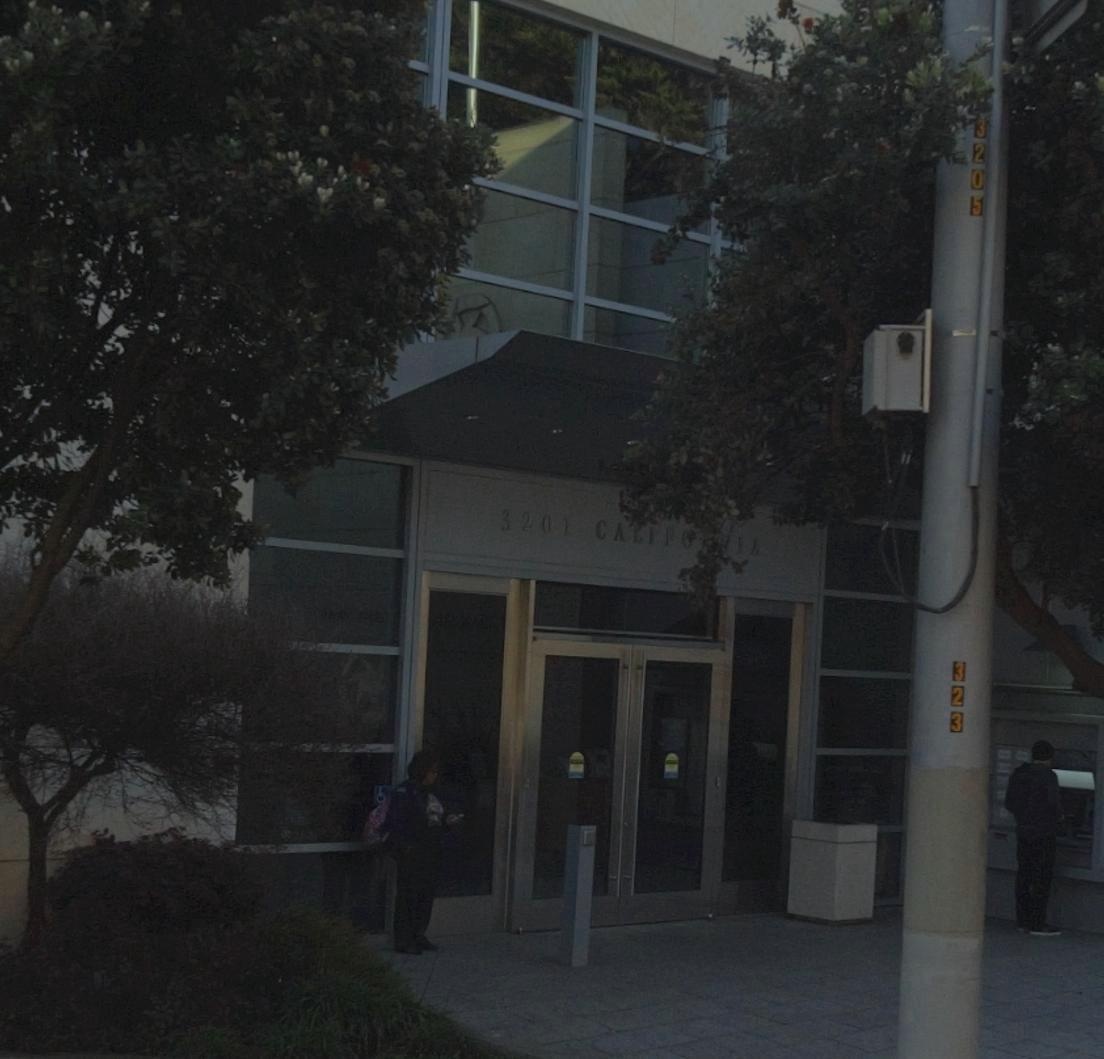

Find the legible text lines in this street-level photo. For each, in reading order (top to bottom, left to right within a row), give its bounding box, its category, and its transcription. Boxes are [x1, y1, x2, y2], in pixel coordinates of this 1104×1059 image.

[969, 116, 989, 217] None: 3205
[498, 505, 571, 541] StreetNumber: 3201
[593, 515, 765, 559] StreetName: CALIFO**IA
[949, 660, 966, 733] None: 323